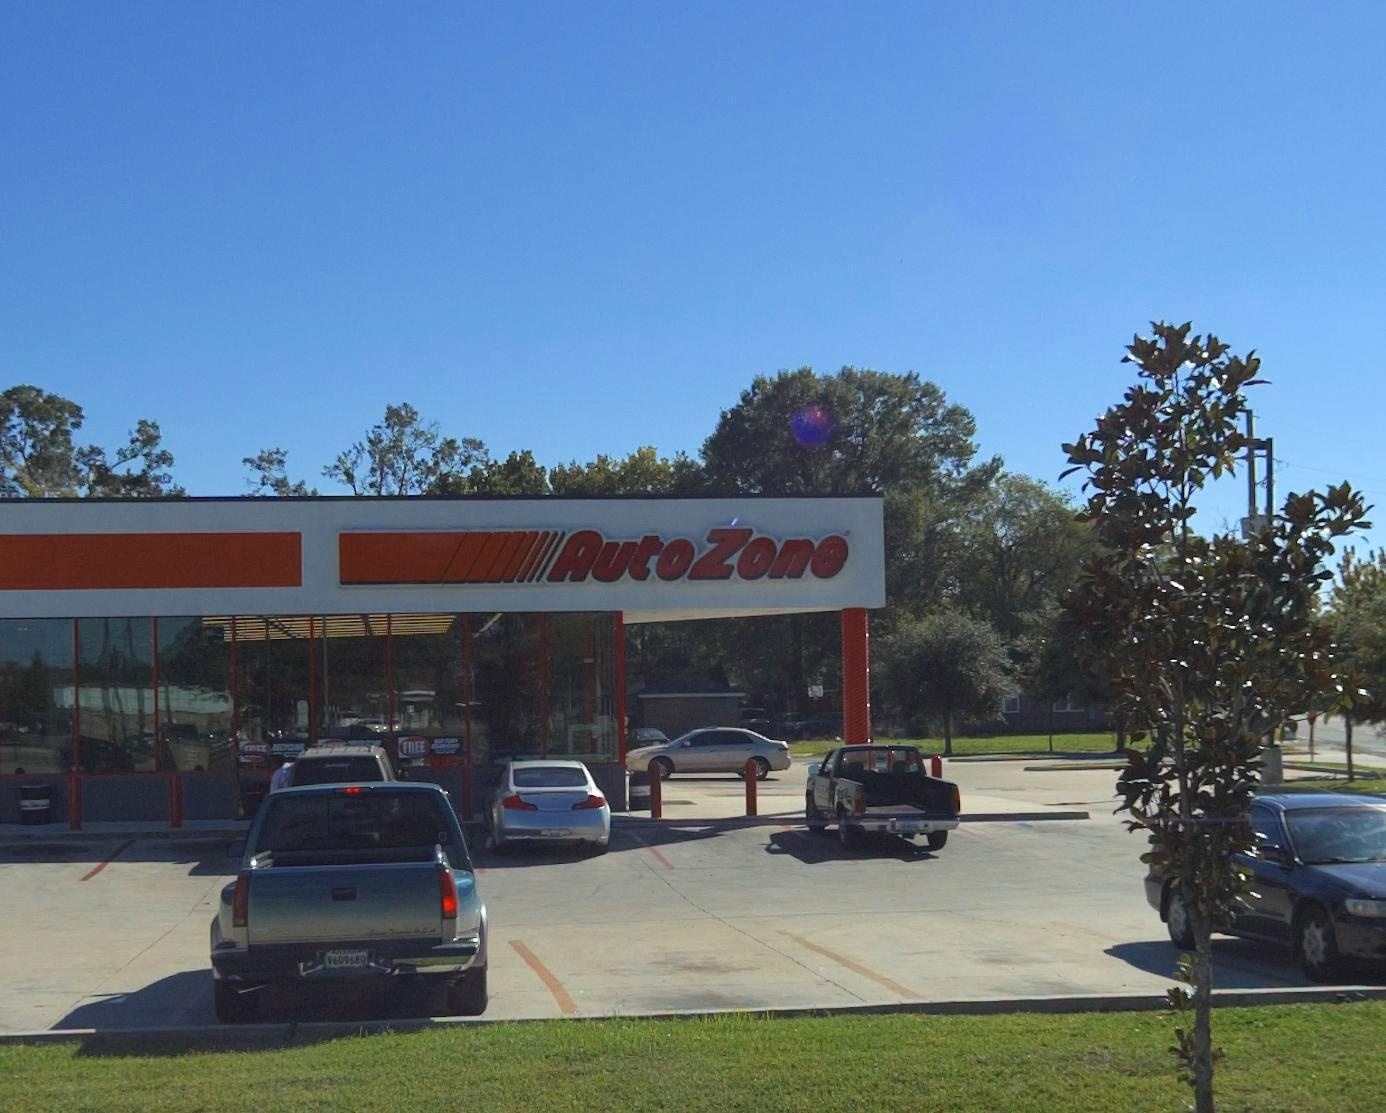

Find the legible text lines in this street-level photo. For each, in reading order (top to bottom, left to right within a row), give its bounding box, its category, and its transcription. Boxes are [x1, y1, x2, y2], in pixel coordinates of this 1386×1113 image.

[536, 523, 859, 586] BusinessName: AutoZone
[401, 739, 429, 755] None: FREE
[325, 953, 367, 967] None: V6*95**